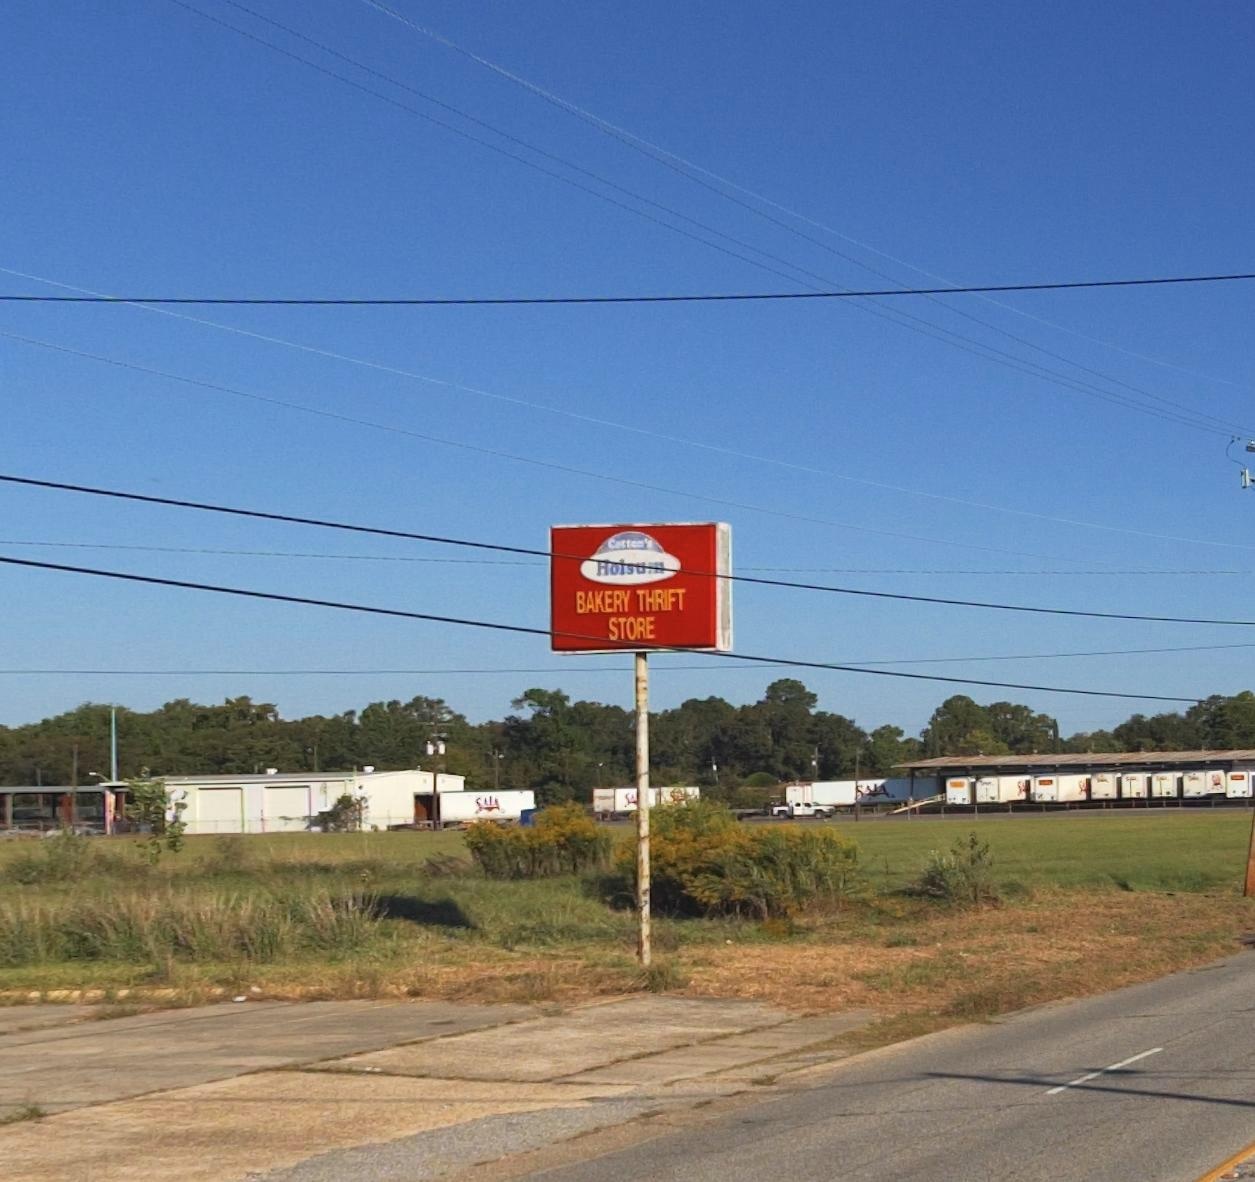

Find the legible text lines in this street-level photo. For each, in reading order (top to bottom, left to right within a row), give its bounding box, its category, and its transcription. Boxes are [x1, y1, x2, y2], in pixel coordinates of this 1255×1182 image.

[594, 556, 669, 579] None: HOLS**
[573, 586, 688, 617] BusinessName: BAKERY THRIFT
[605, 612, 659, 643] BusinessName: STORE
[473, 794, 503, 816] BusinessName: SALA
[622, 791, 640, 810] BusinessName: SA
[852, 780, 892, 802] BusinessName: SALA
[1015, 778, 1026, 798] BusinessName: S
[1076, 778, 1085, 798] BusinessName: S